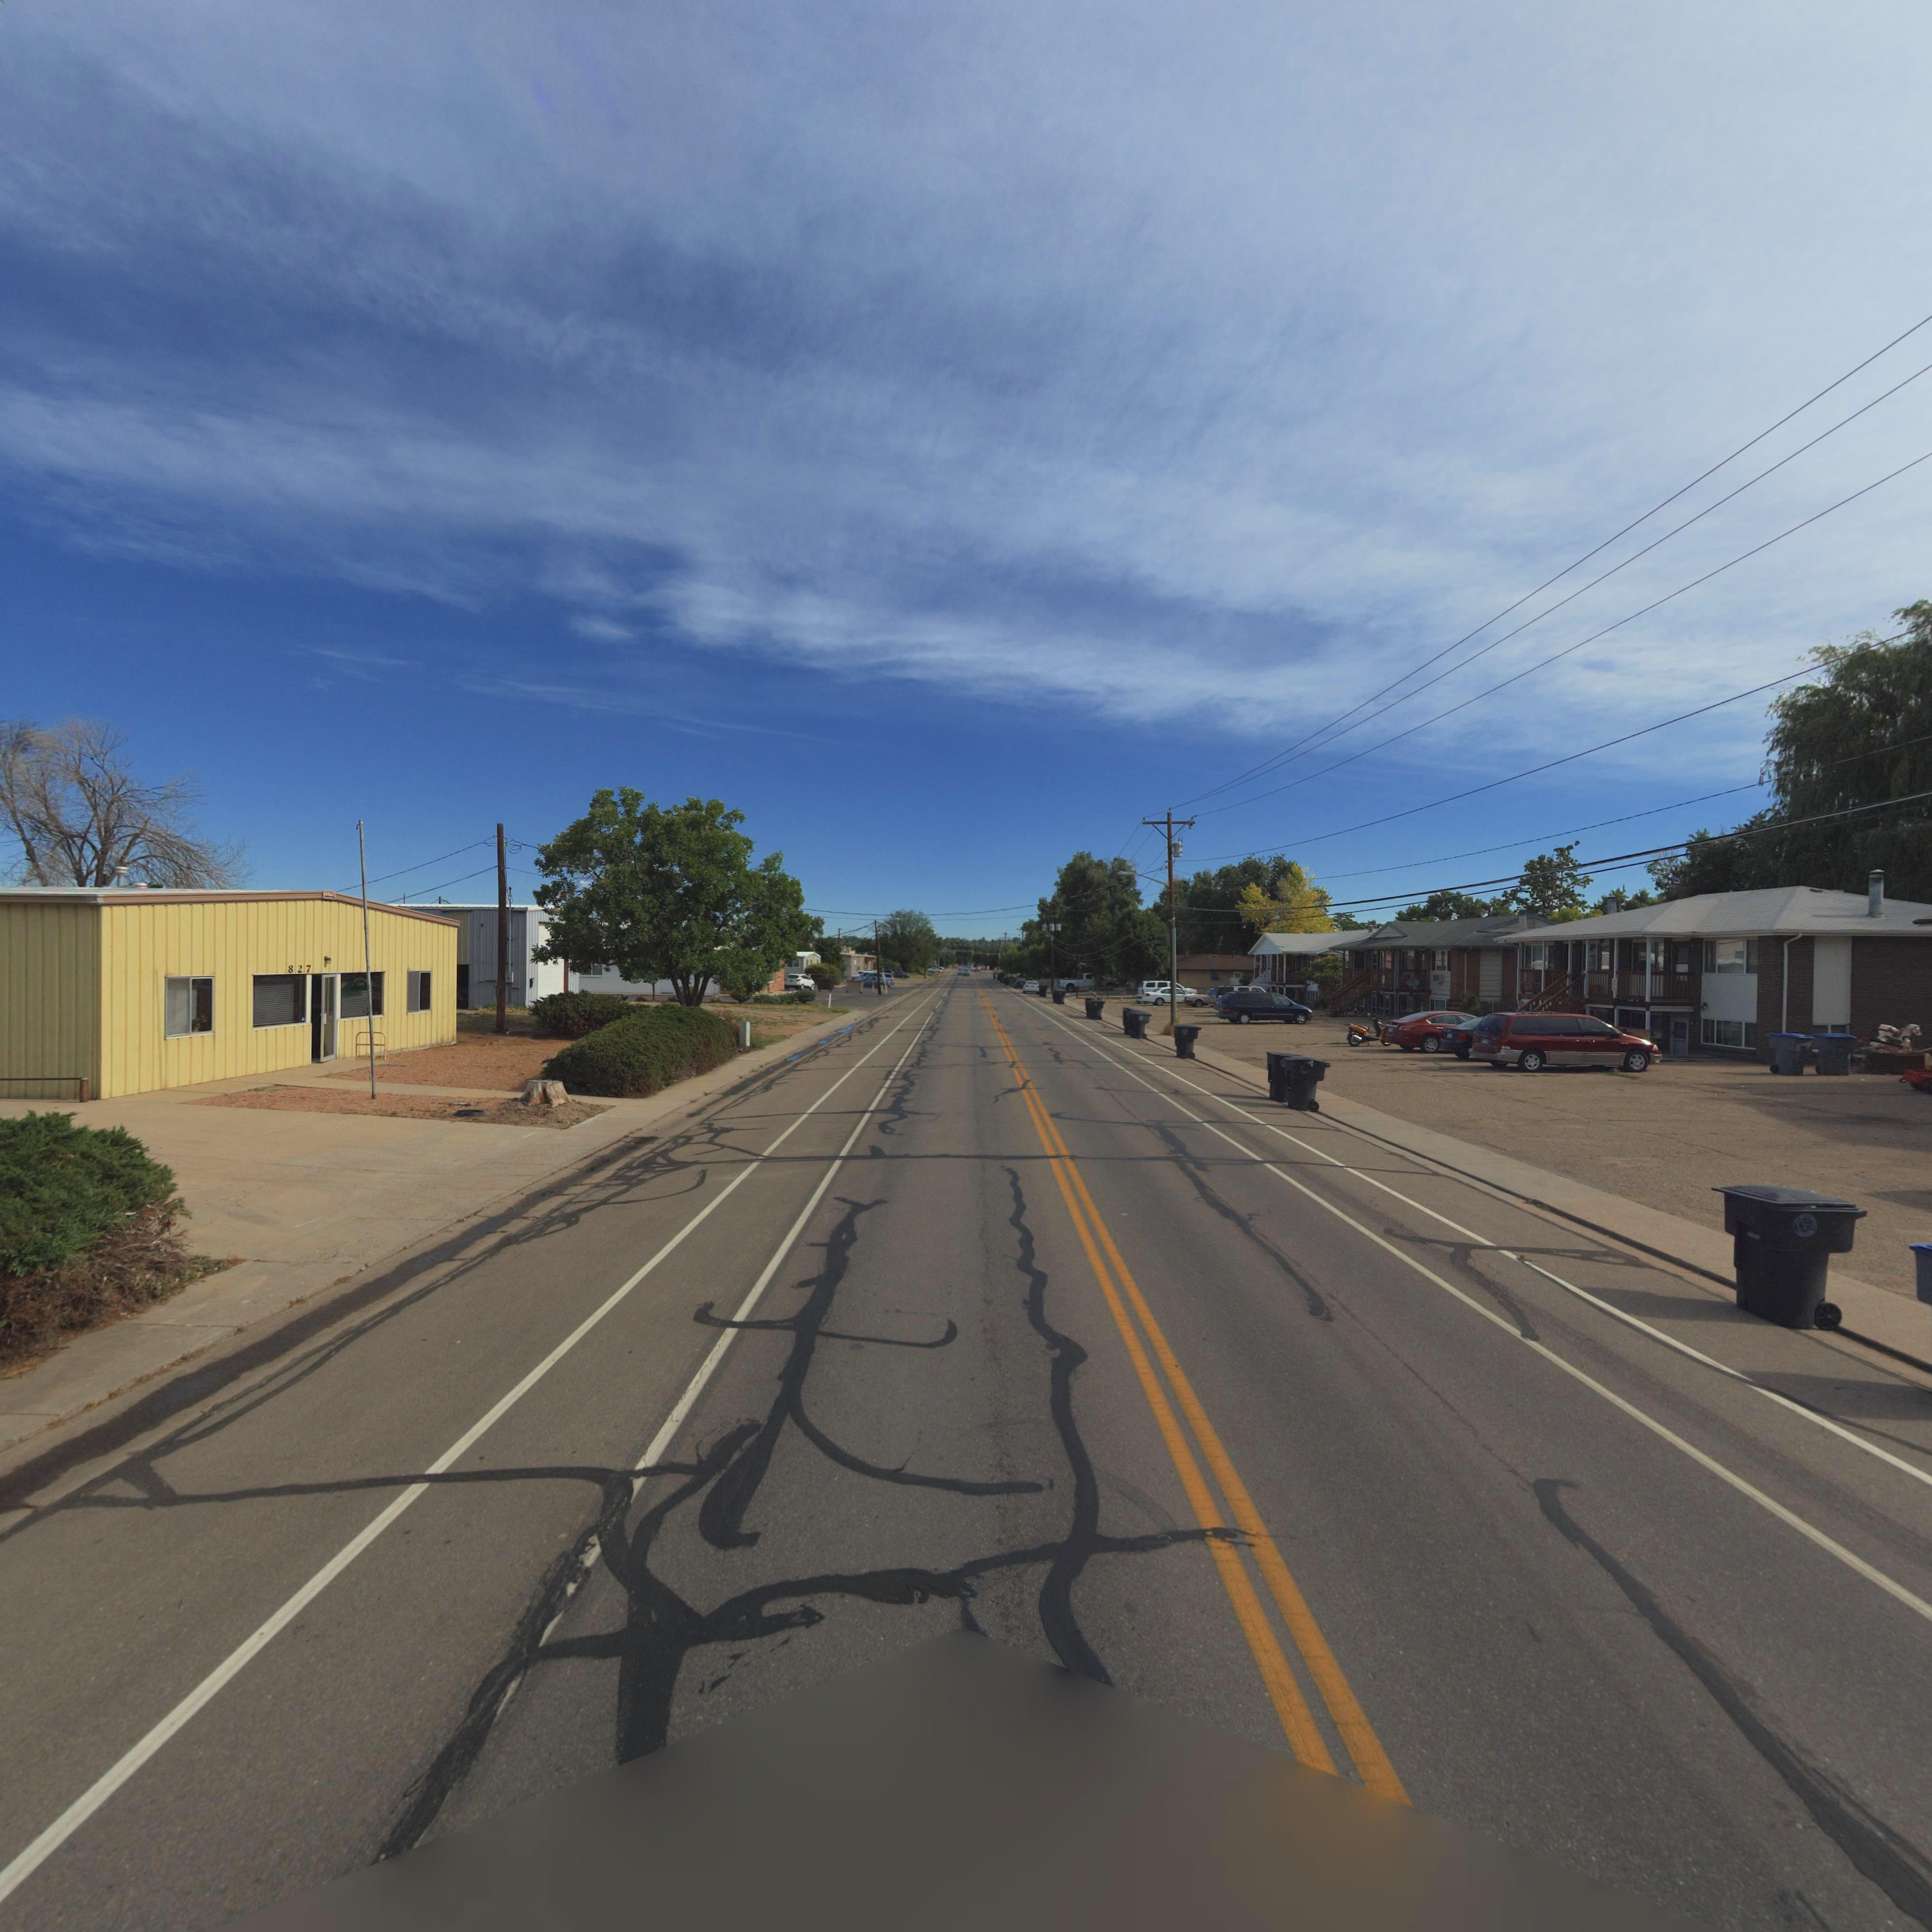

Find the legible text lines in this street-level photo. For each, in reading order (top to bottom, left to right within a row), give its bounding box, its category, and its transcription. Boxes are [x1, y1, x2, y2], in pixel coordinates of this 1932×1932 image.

[286, 964, 313, 973] StreetNumber: 827